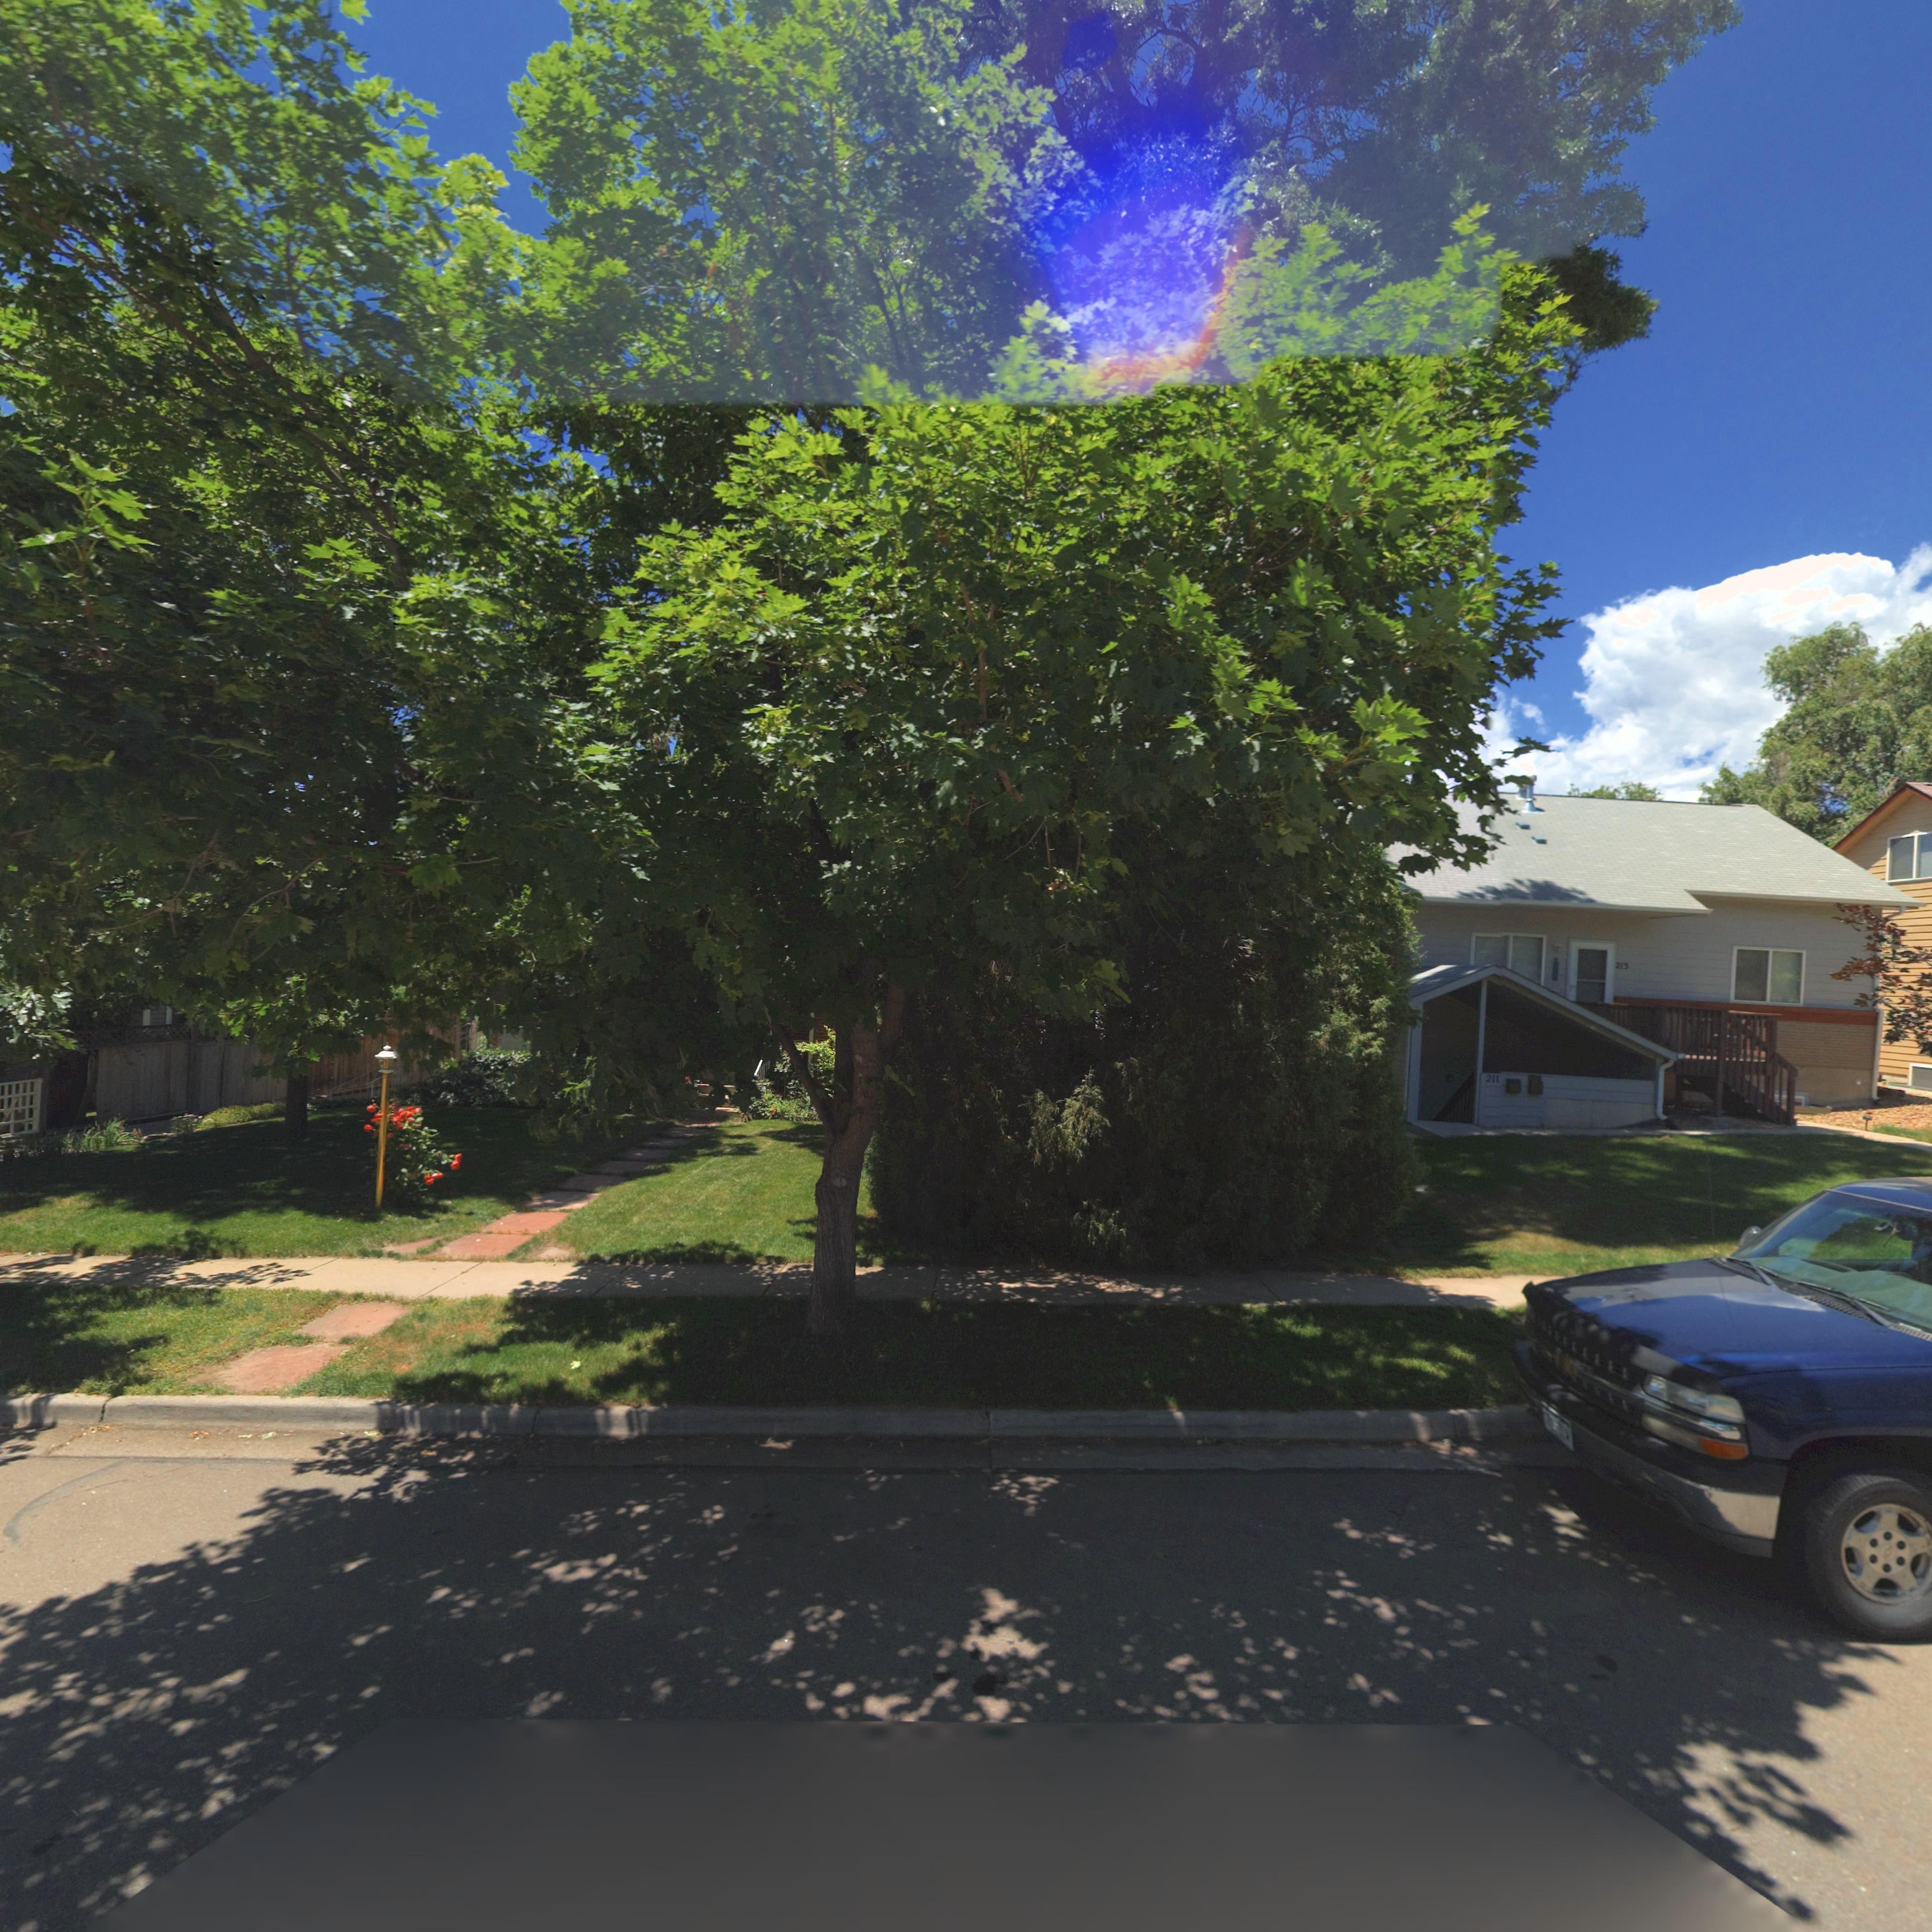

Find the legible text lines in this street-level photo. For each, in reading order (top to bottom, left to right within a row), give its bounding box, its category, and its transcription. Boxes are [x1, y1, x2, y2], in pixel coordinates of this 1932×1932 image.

[1614, 961, 1629, 969] StreetNumber: 213
[1485, 1074, 1500, 1084] StreetNumber: 211